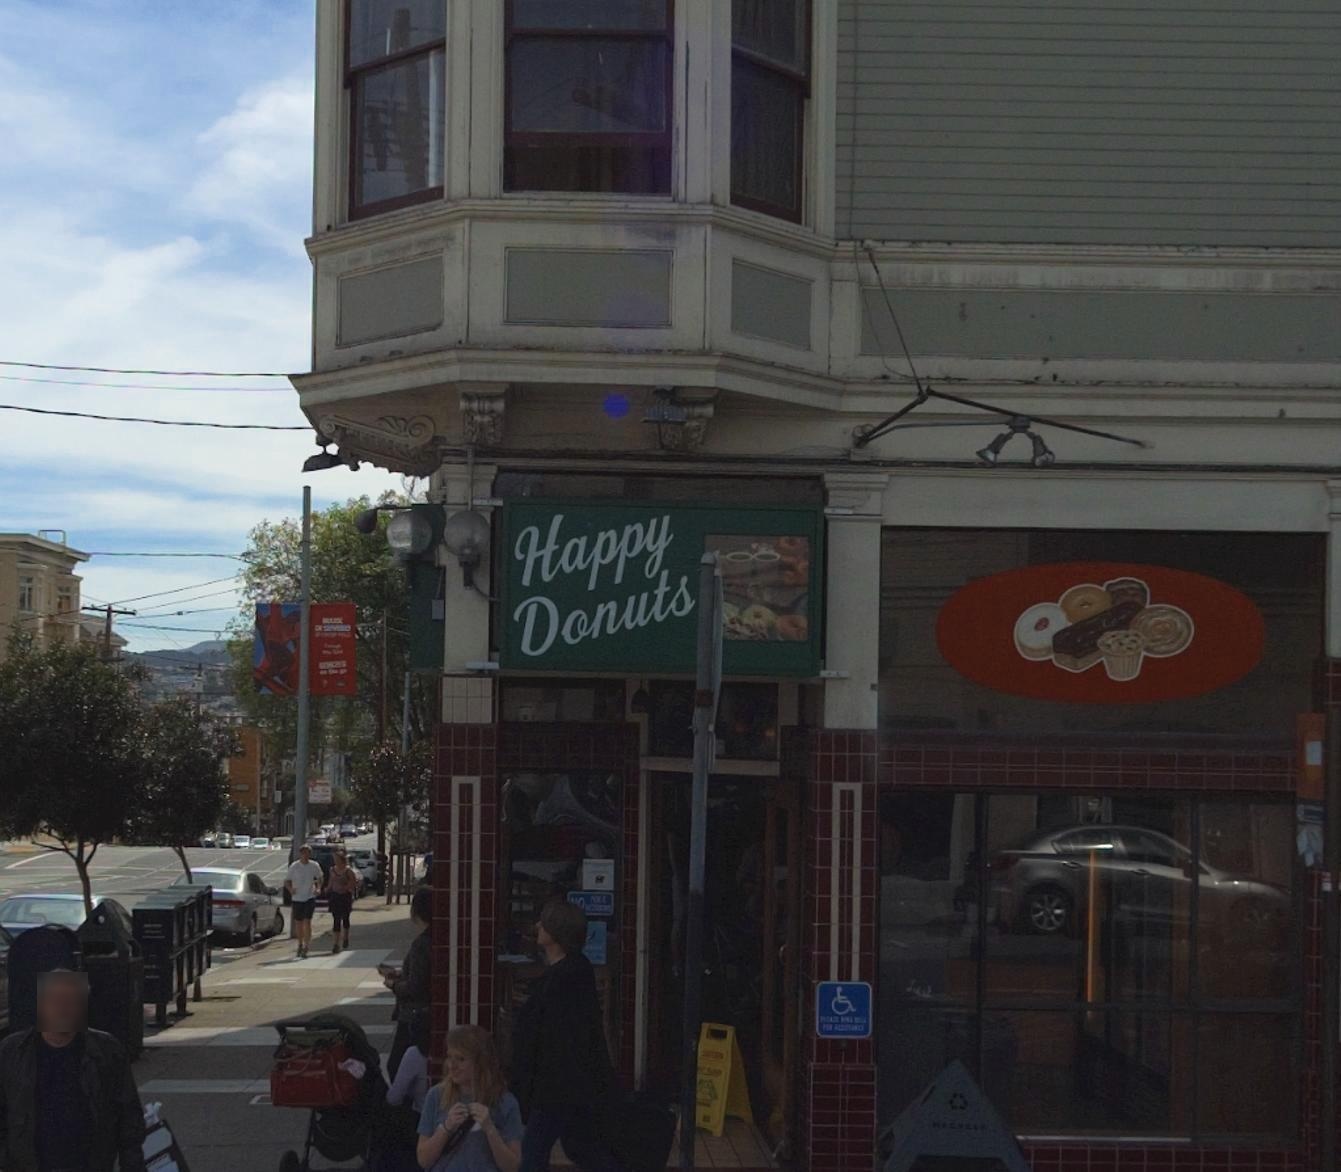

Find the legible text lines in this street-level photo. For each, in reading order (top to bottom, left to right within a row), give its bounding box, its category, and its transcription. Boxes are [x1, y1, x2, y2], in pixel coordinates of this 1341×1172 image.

[513, 512, 677, 590] BusinessName: Happy
[511, 569, 696, 658] BusinessName: Donuts
[930, 1120, 989, 1132] None: RECYCLE